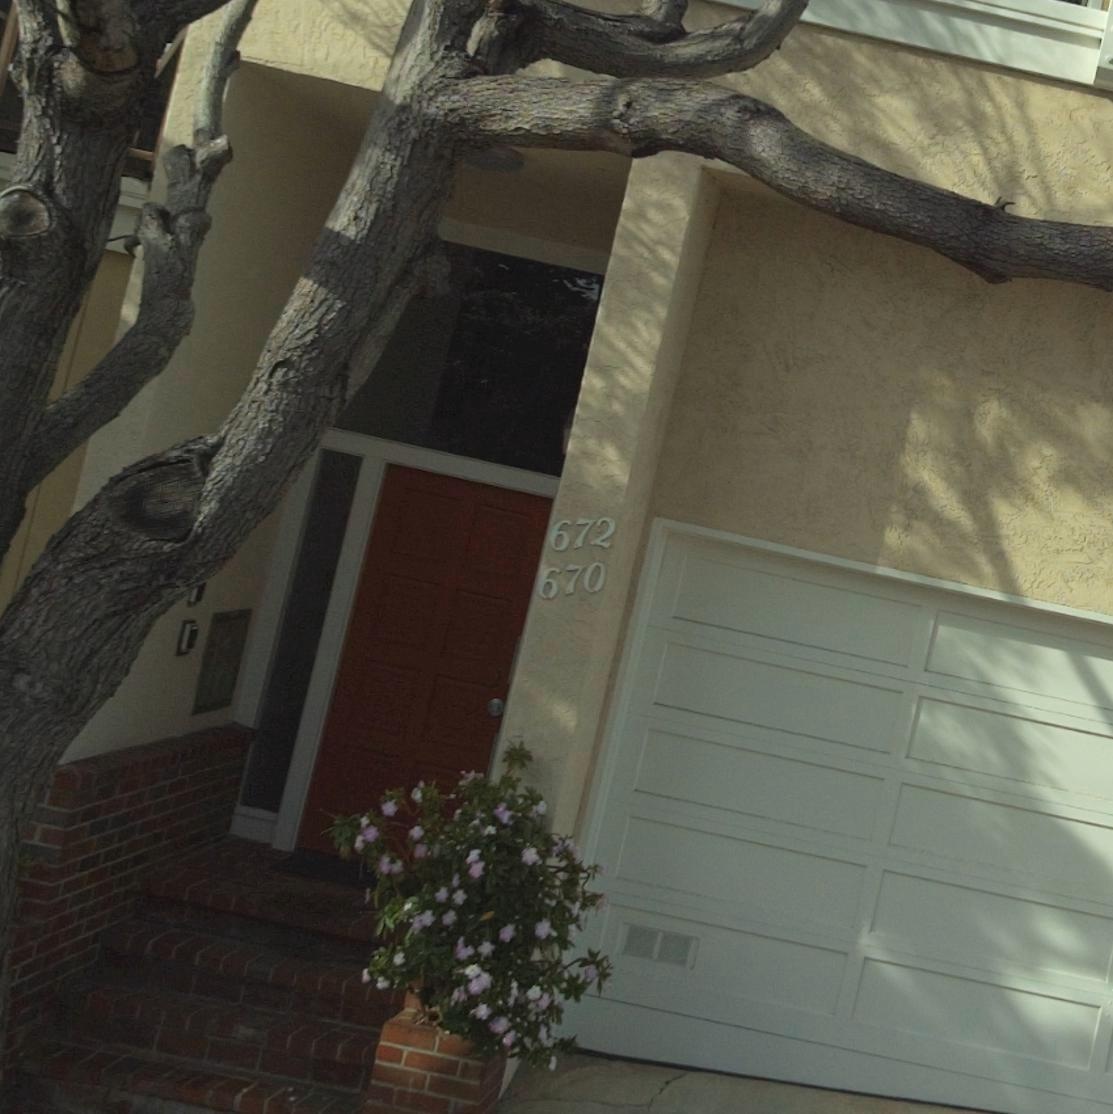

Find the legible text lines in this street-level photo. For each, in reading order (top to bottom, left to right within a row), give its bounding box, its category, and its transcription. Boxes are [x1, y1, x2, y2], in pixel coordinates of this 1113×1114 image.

[543, 516, 620, 552] StreetNumber: 672
[532, 560, 610, 602] StreetNumber: 670